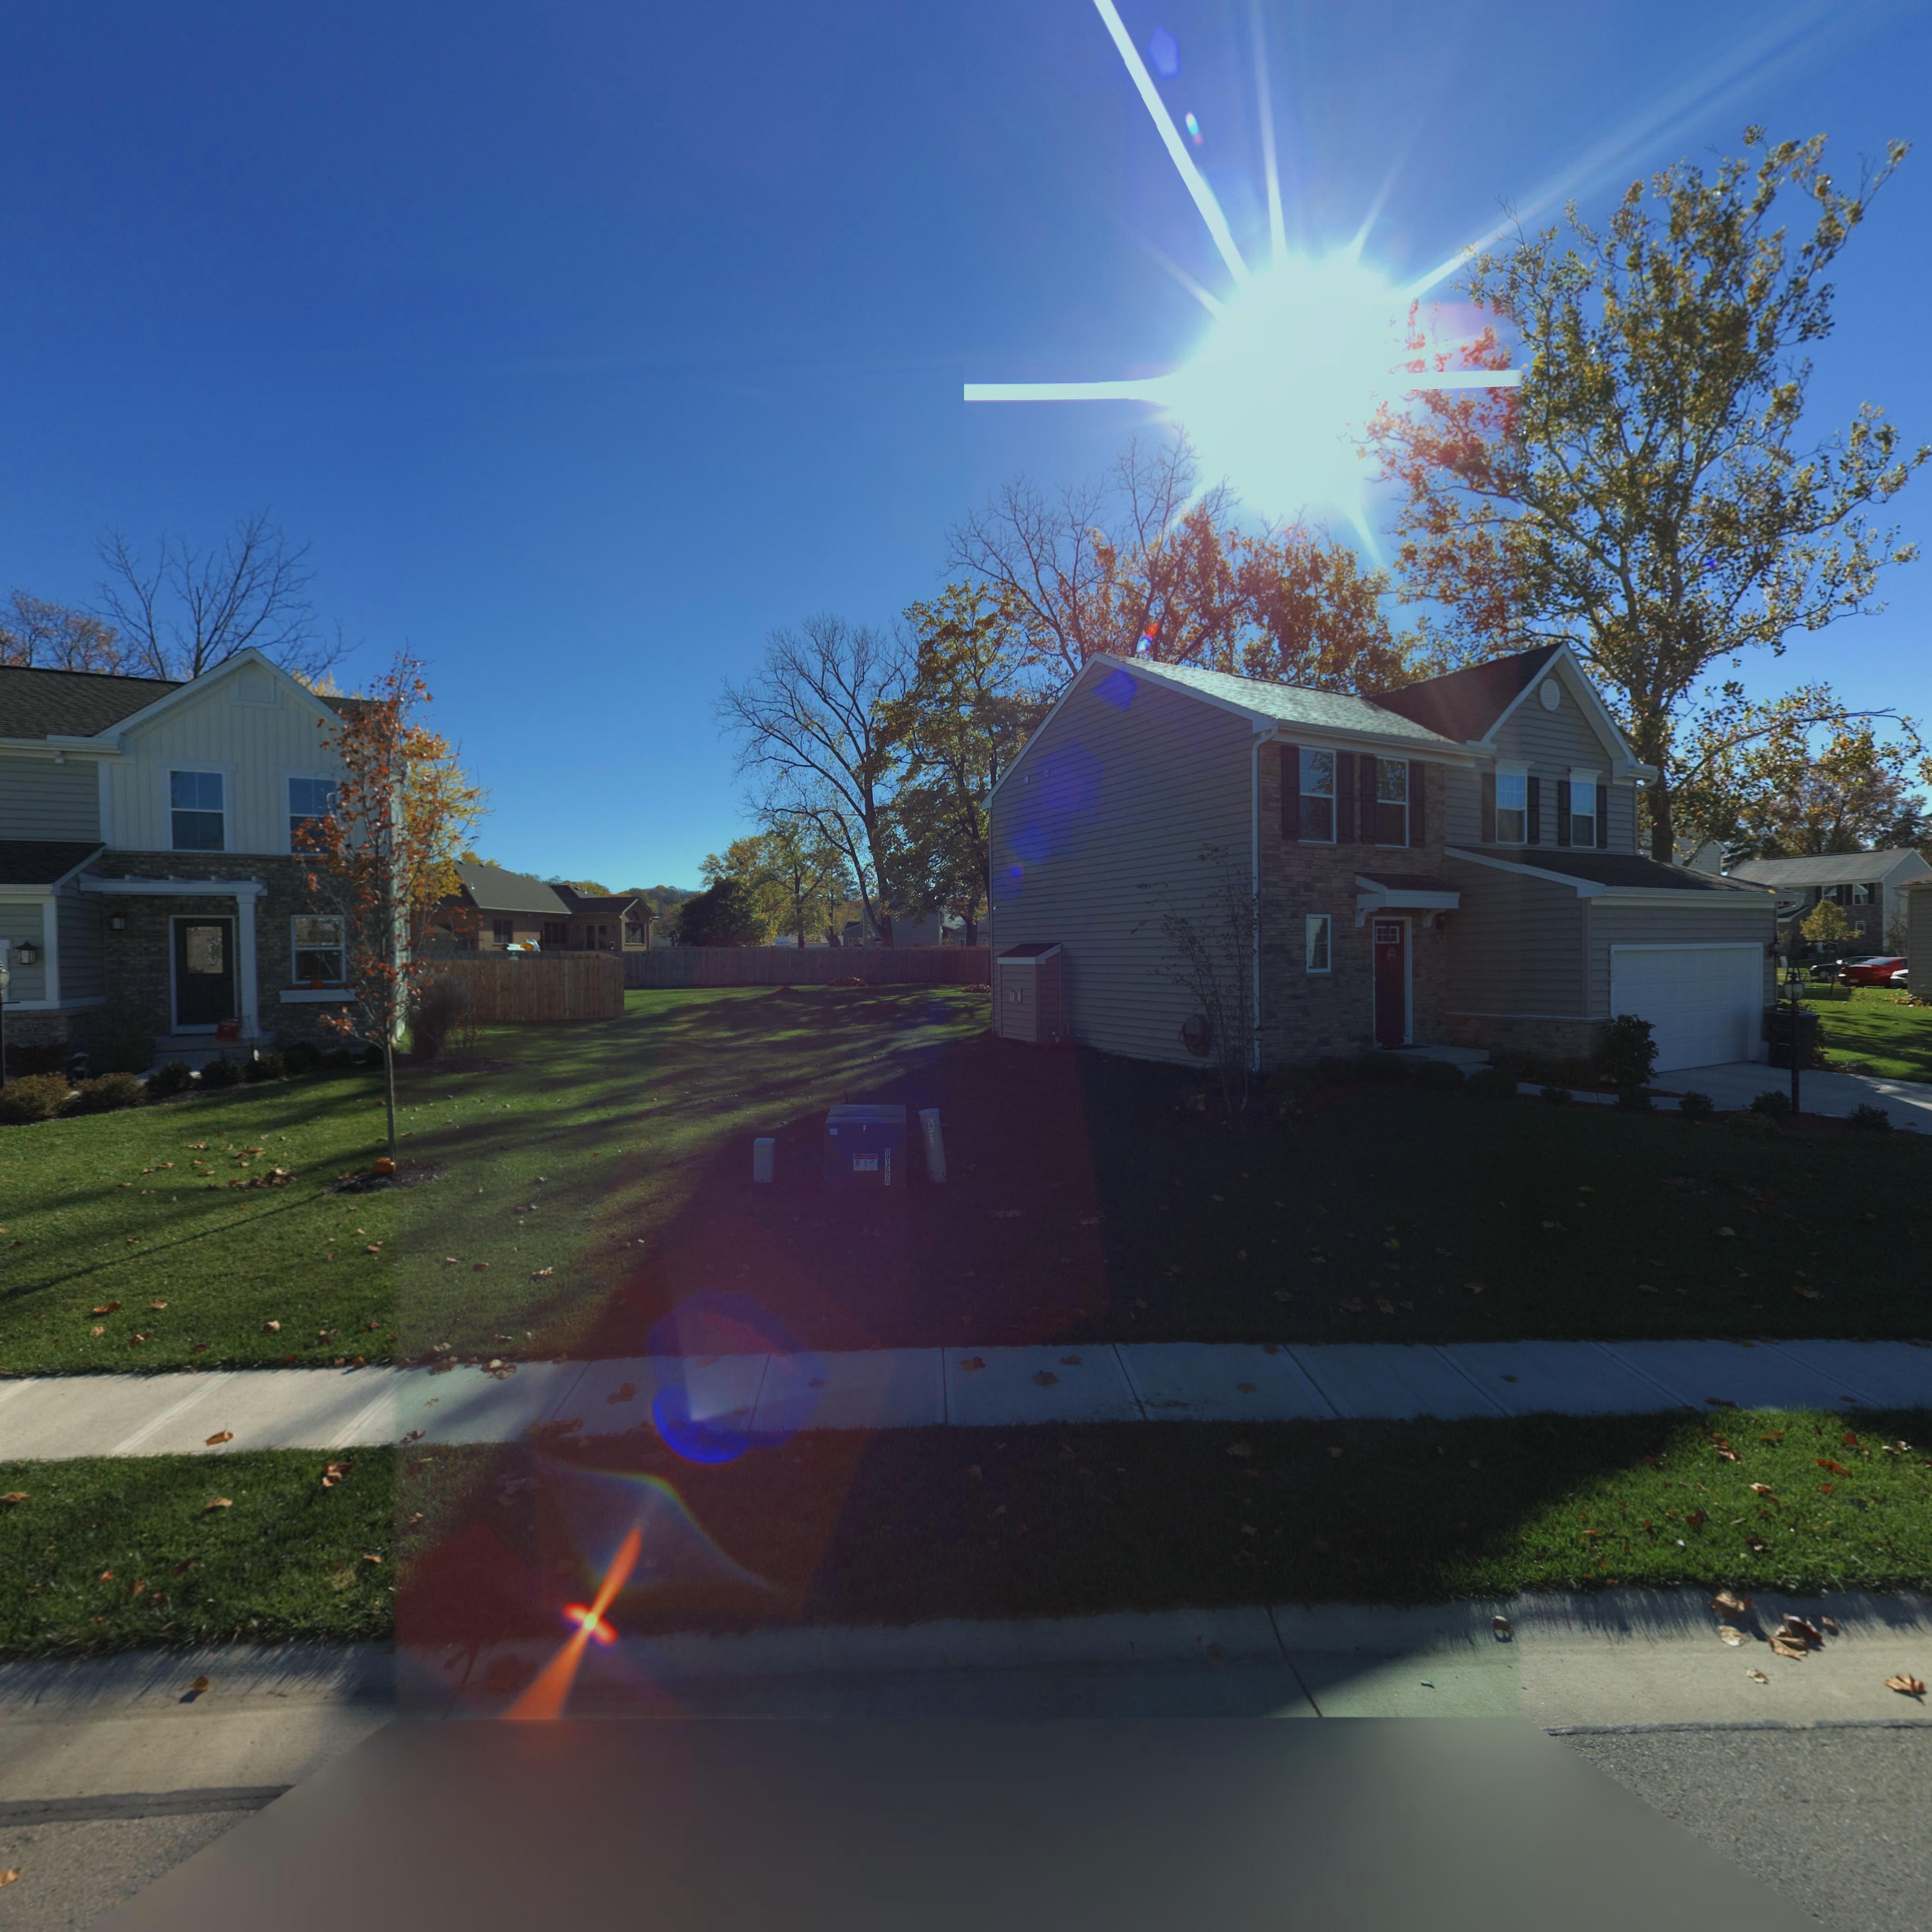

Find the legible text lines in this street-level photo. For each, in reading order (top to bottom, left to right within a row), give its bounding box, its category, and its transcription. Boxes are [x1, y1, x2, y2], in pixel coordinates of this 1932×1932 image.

[1610, 952, 1615, 984] StreetNumber: 5112